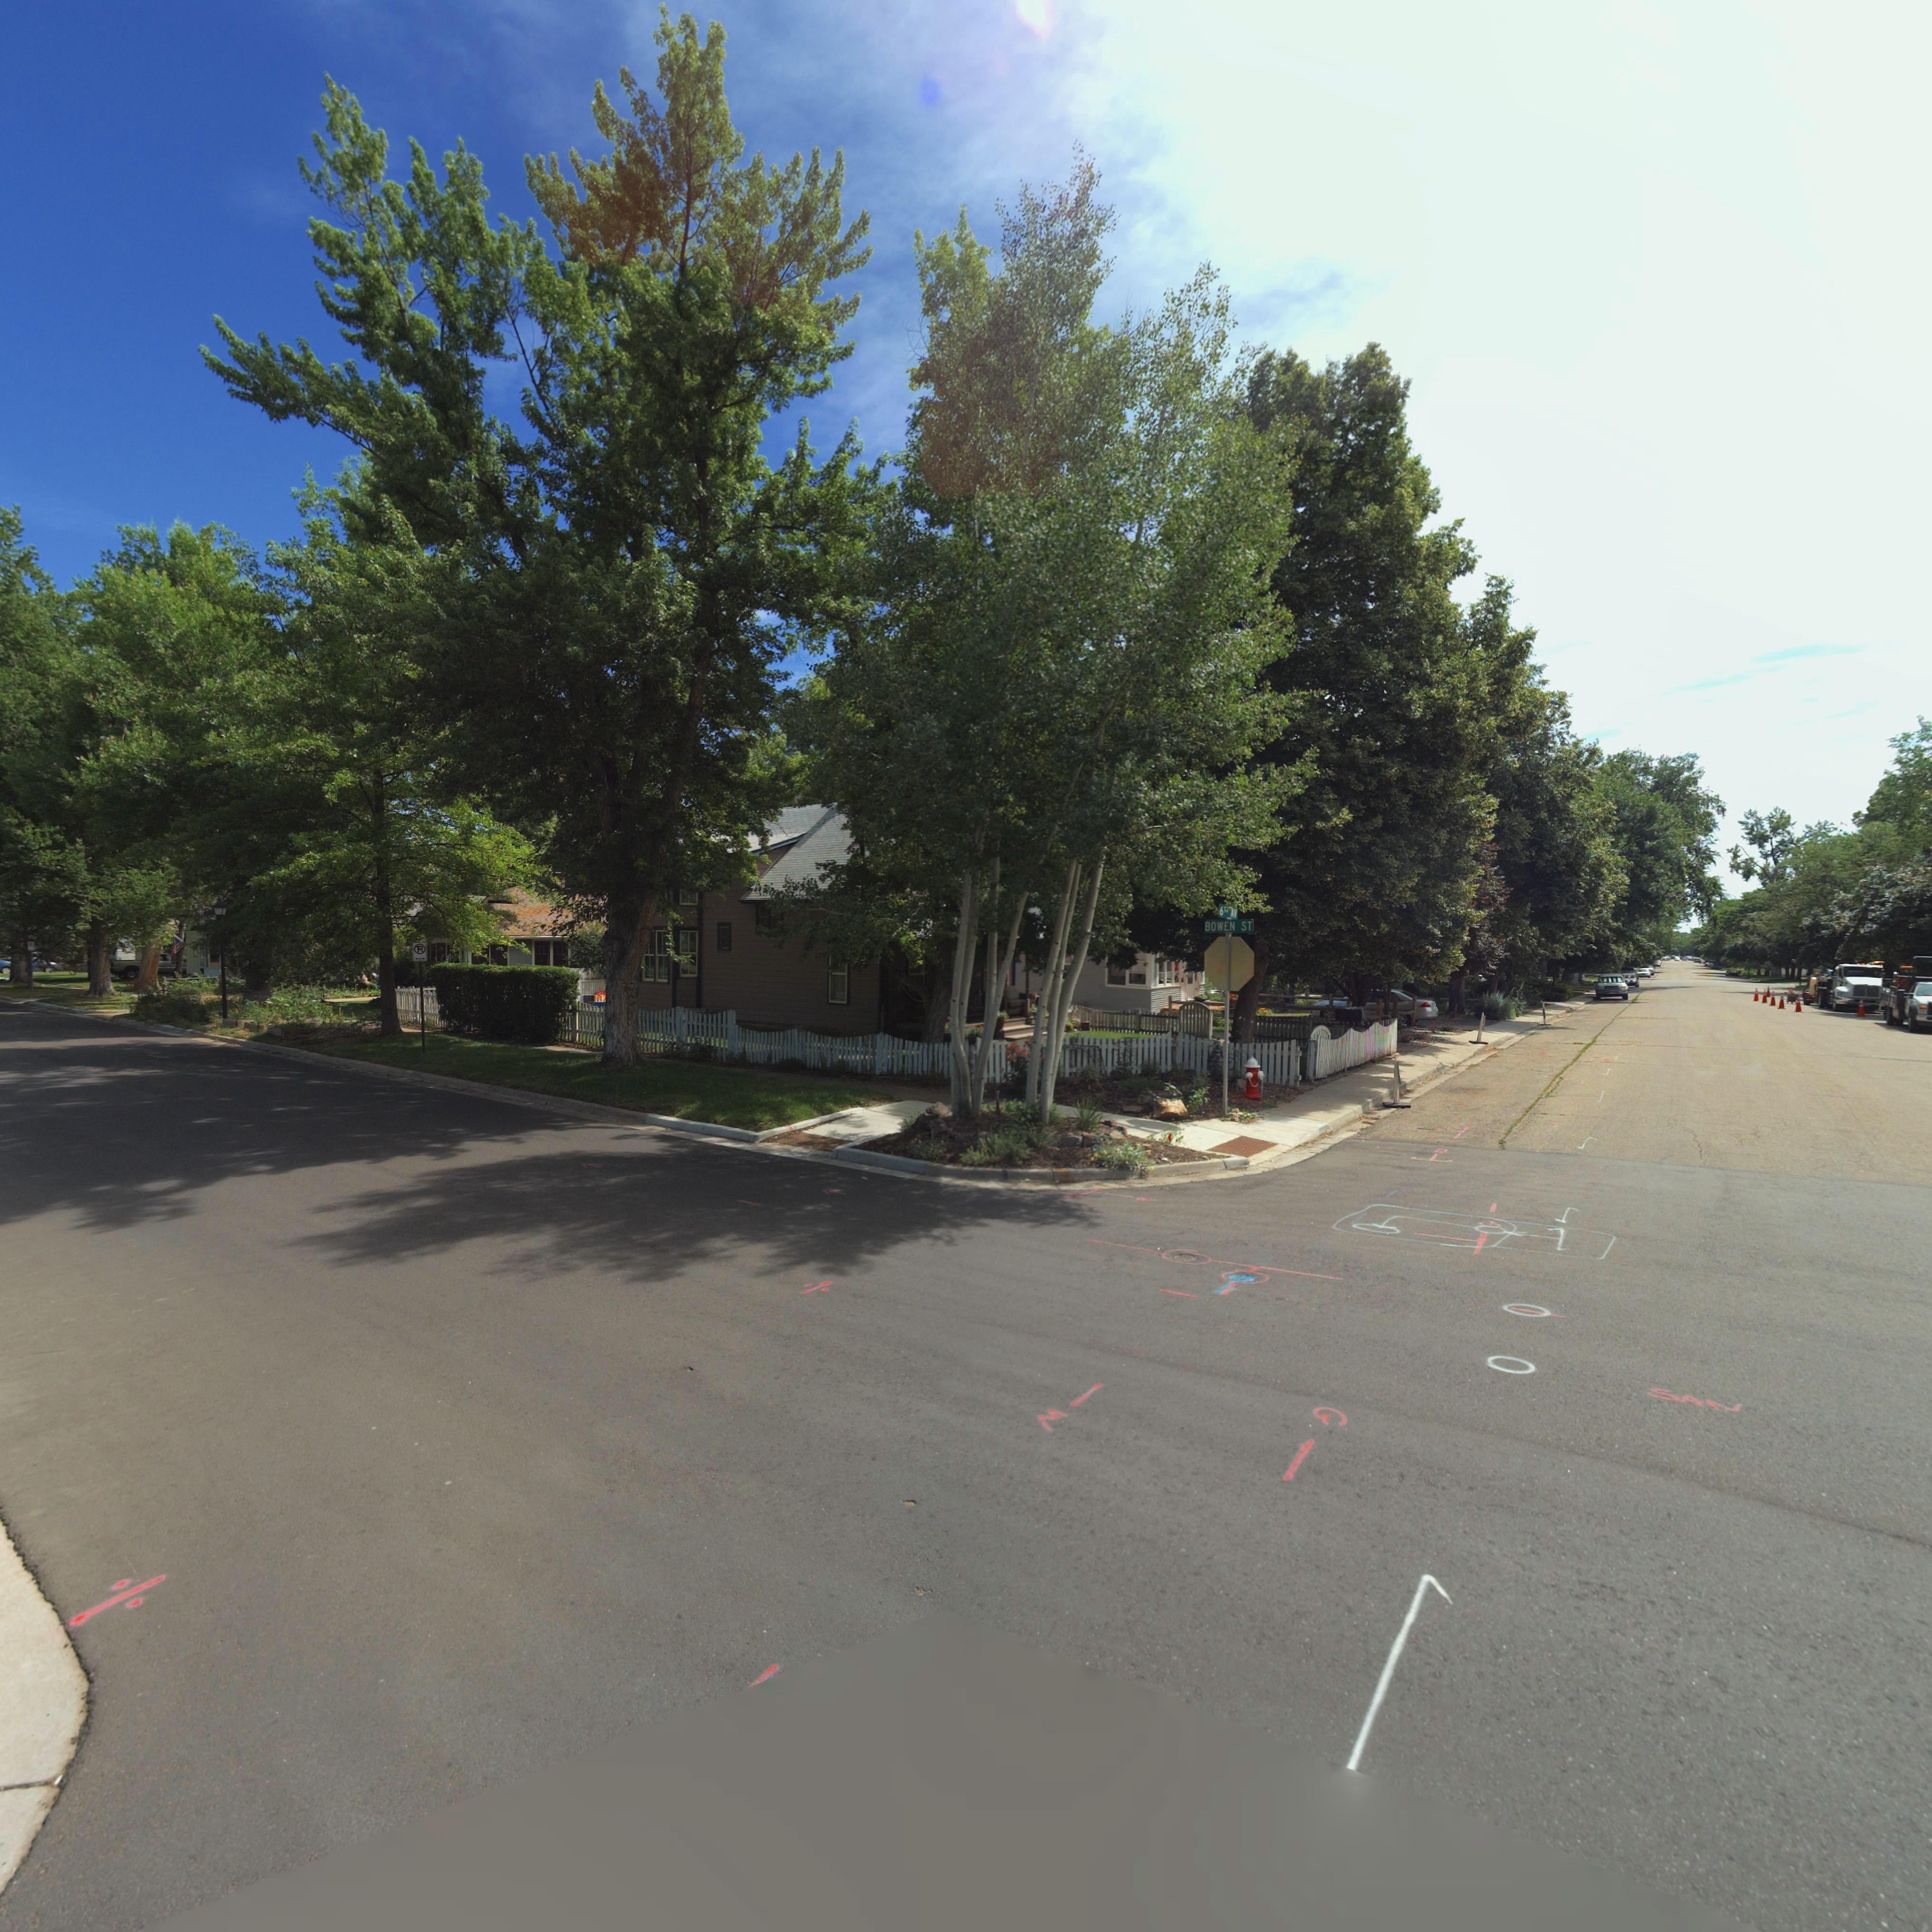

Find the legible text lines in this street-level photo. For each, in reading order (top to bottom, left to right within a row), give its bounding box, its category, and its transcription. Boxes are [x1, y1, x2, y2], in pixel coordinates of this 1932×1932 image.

[1218, 904, 1238, 919] StreetName: 6TH AV
[1204, 920, 1253, 932] StreetName: BOWEN ST